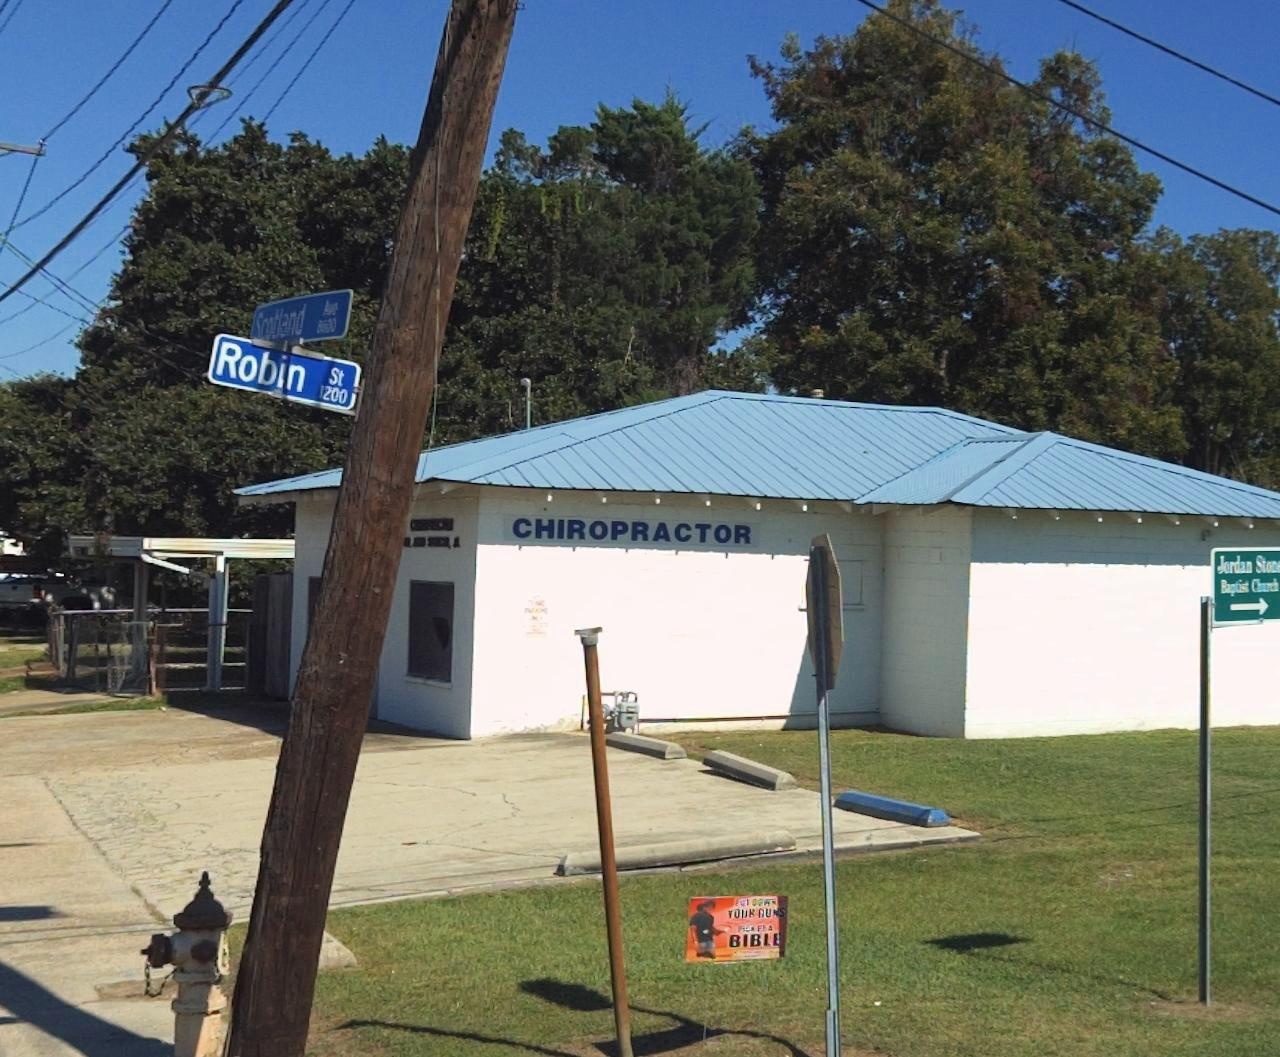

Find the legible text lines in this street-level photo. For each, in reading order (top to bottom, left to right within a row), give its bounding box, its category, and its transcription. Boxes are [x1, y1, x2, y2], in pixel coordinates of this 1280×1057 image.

[254, 296, 340, 340] StreetName: *cotland Ave.
[214, 338, 348, 394] StreetName: Robin St.
[316, 383, 350, 406] StreetNumberRange: 1200
[511, 517, 752, 545] BusinessName: CHIROPRACTOR
[1216, 554, 1278, 577] None: Jordan Ston
[1220, 576, 1280, 598] None: Baptist Church
[727, 906, 786, 920] None: YOUR GUNS
[727, 932, 782, 948] None: BIBLE